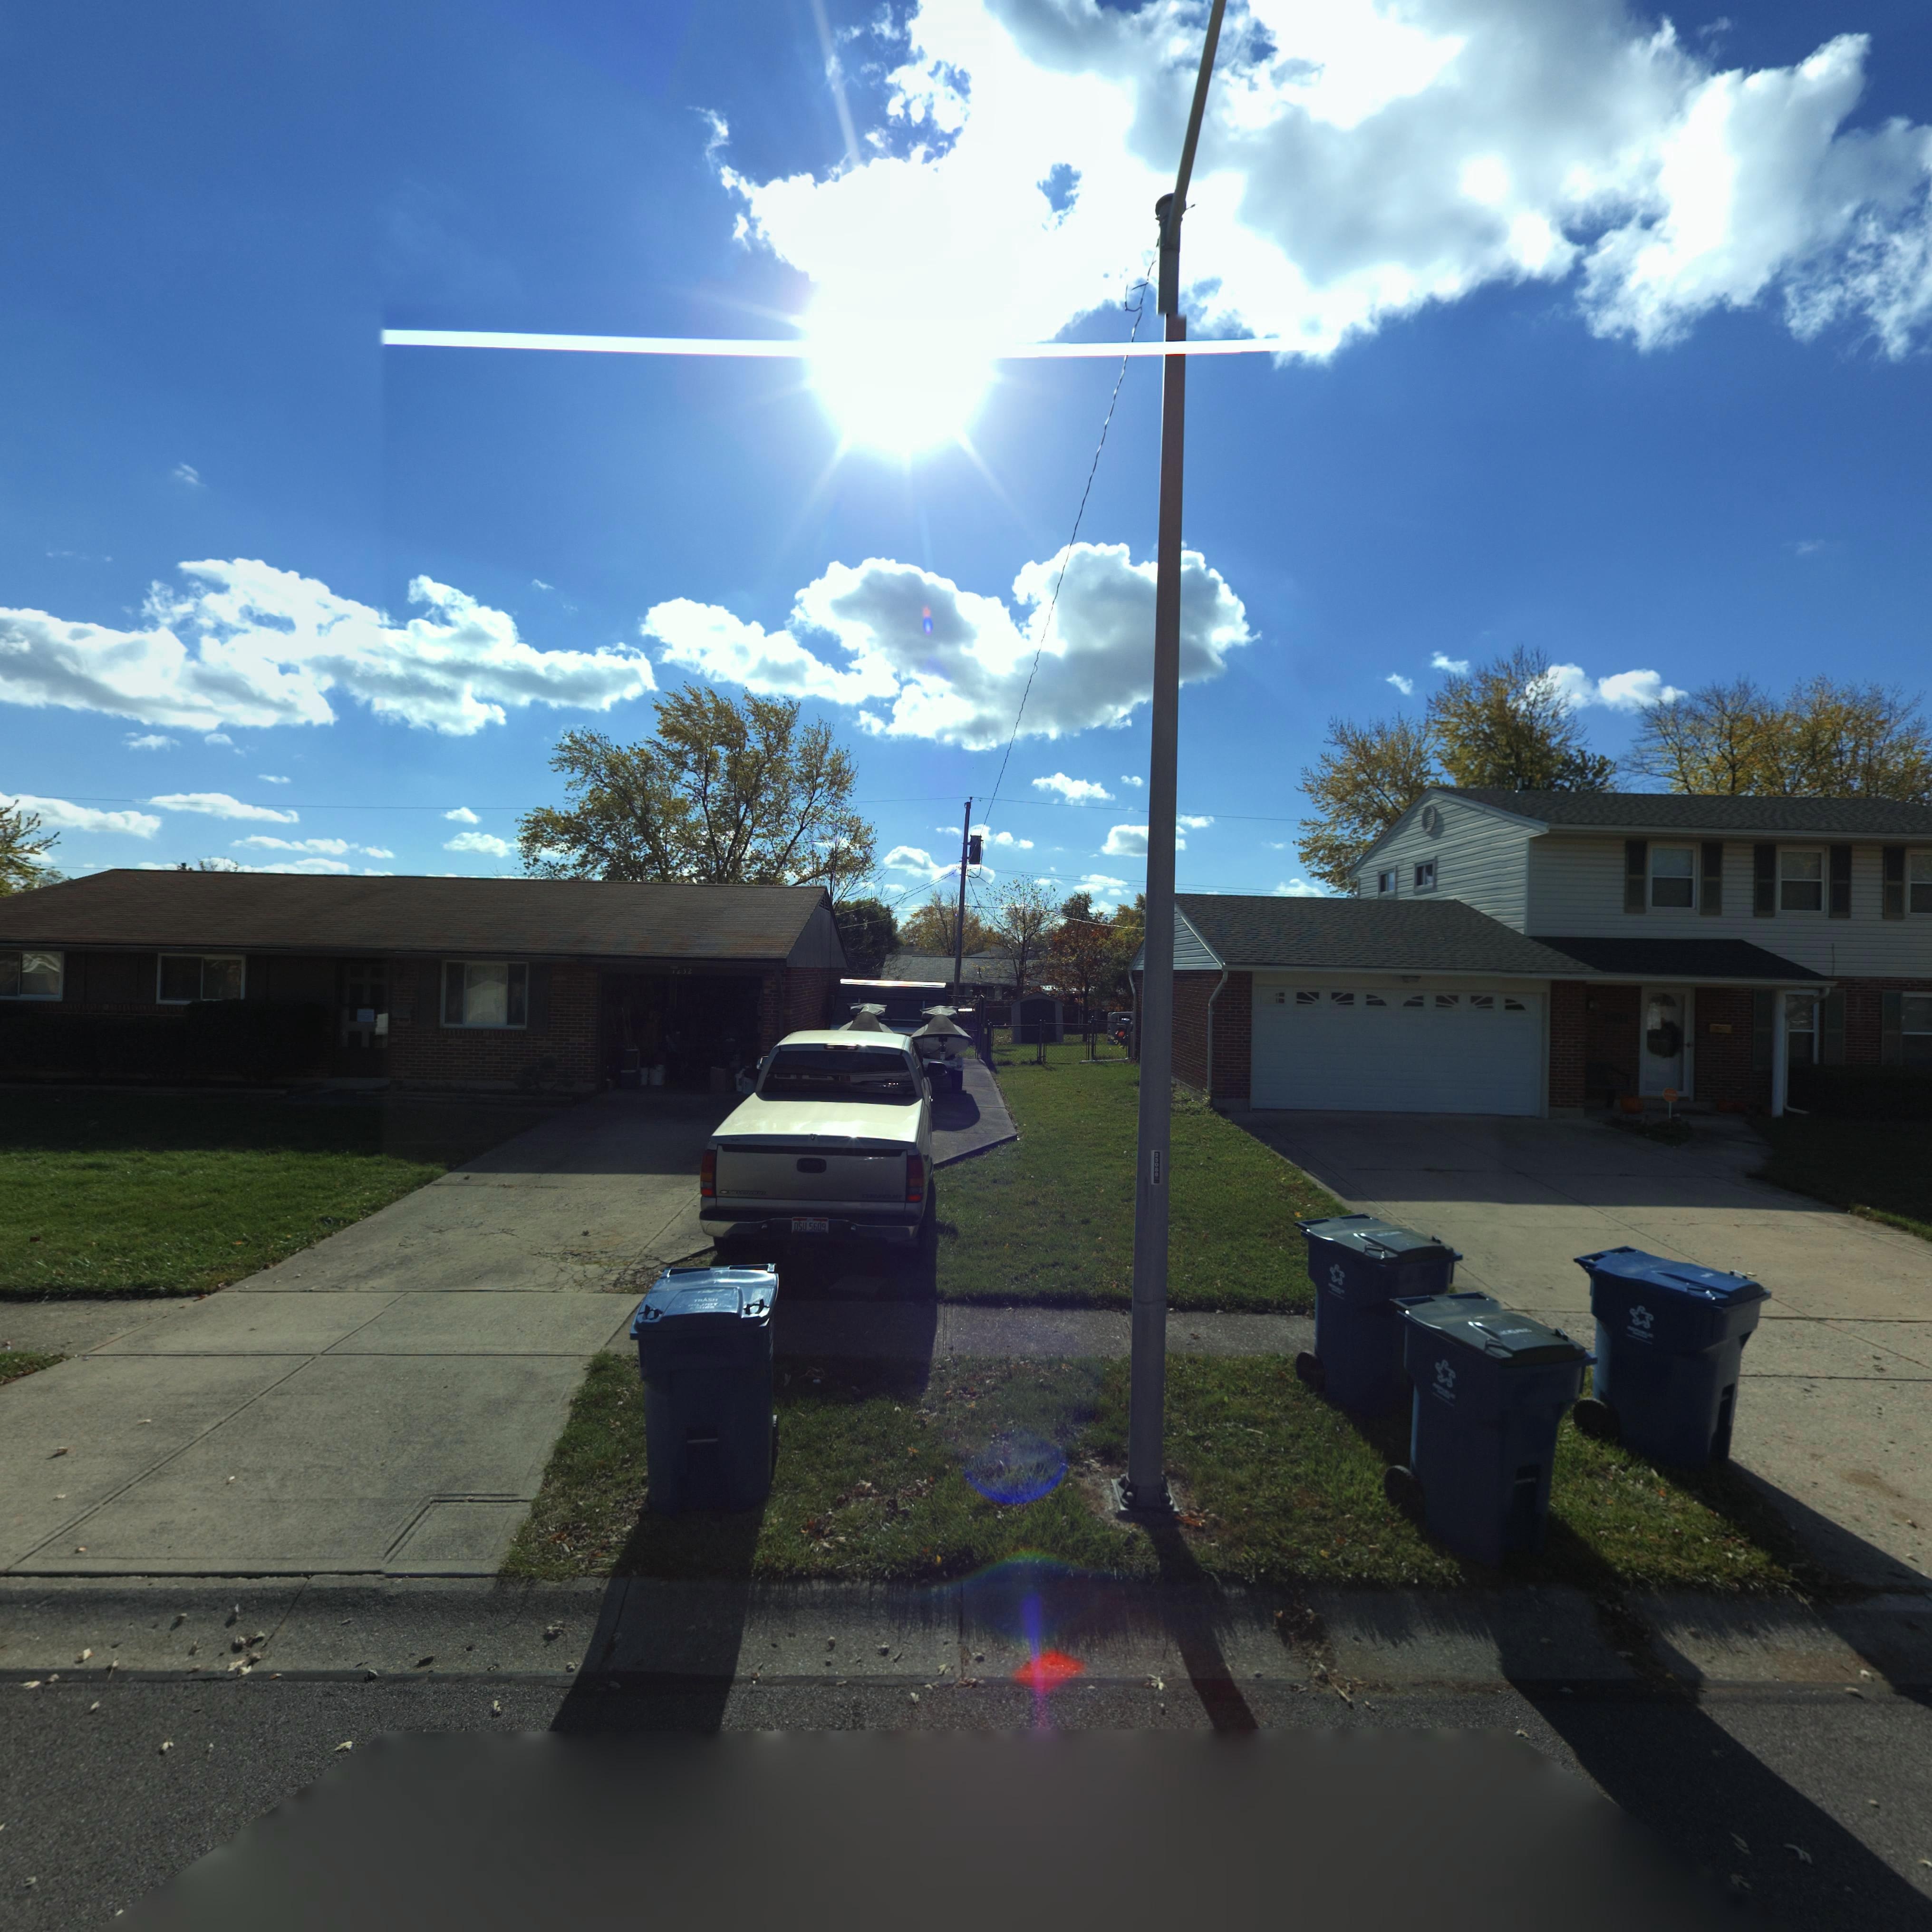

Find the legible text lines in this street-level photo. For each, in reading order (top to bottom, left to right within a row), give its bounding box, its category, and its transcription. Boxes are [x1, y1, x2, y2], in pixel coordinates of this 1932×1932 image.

[682, 966, 694, 976] StreetNumber: 32